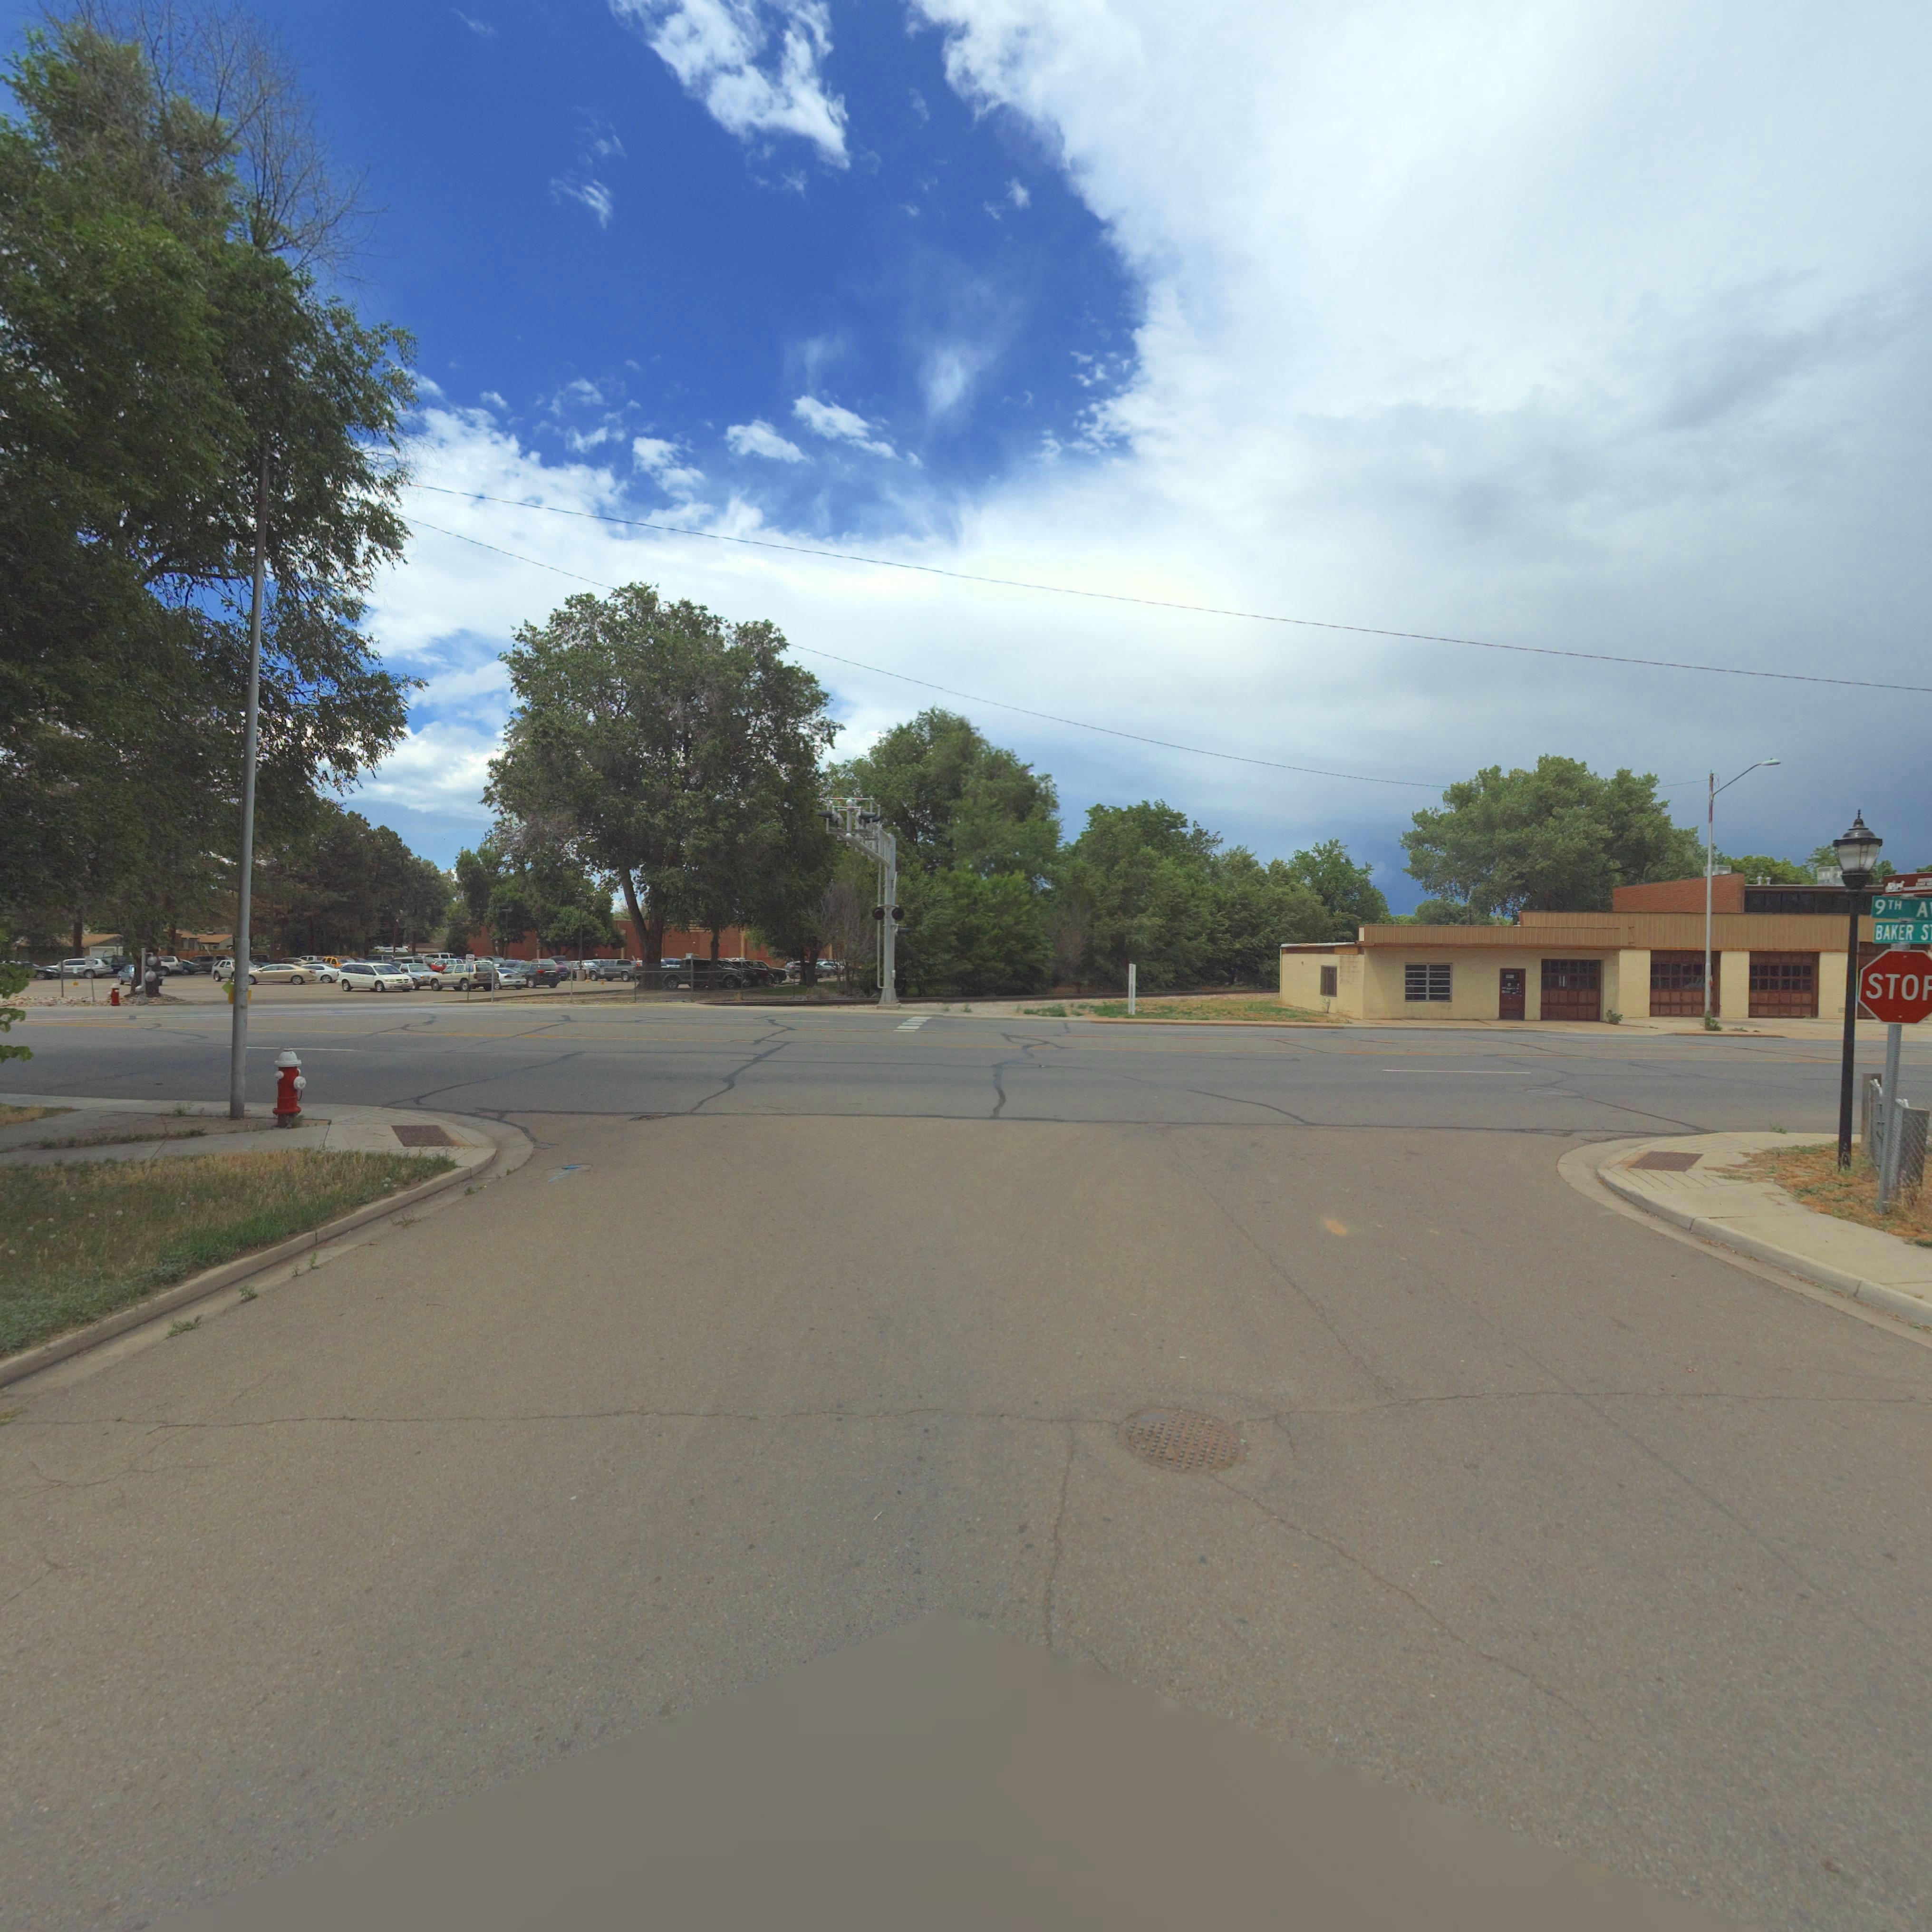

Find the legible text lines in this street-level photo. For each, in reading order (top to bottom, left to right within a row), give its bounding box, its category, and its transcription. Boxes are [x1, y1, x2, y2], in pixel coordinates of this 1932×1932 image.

[1874, 898, 1929, 918] StreetName: 9TH A
[1875, 923, 1930, 941] StreetName: BAKER S